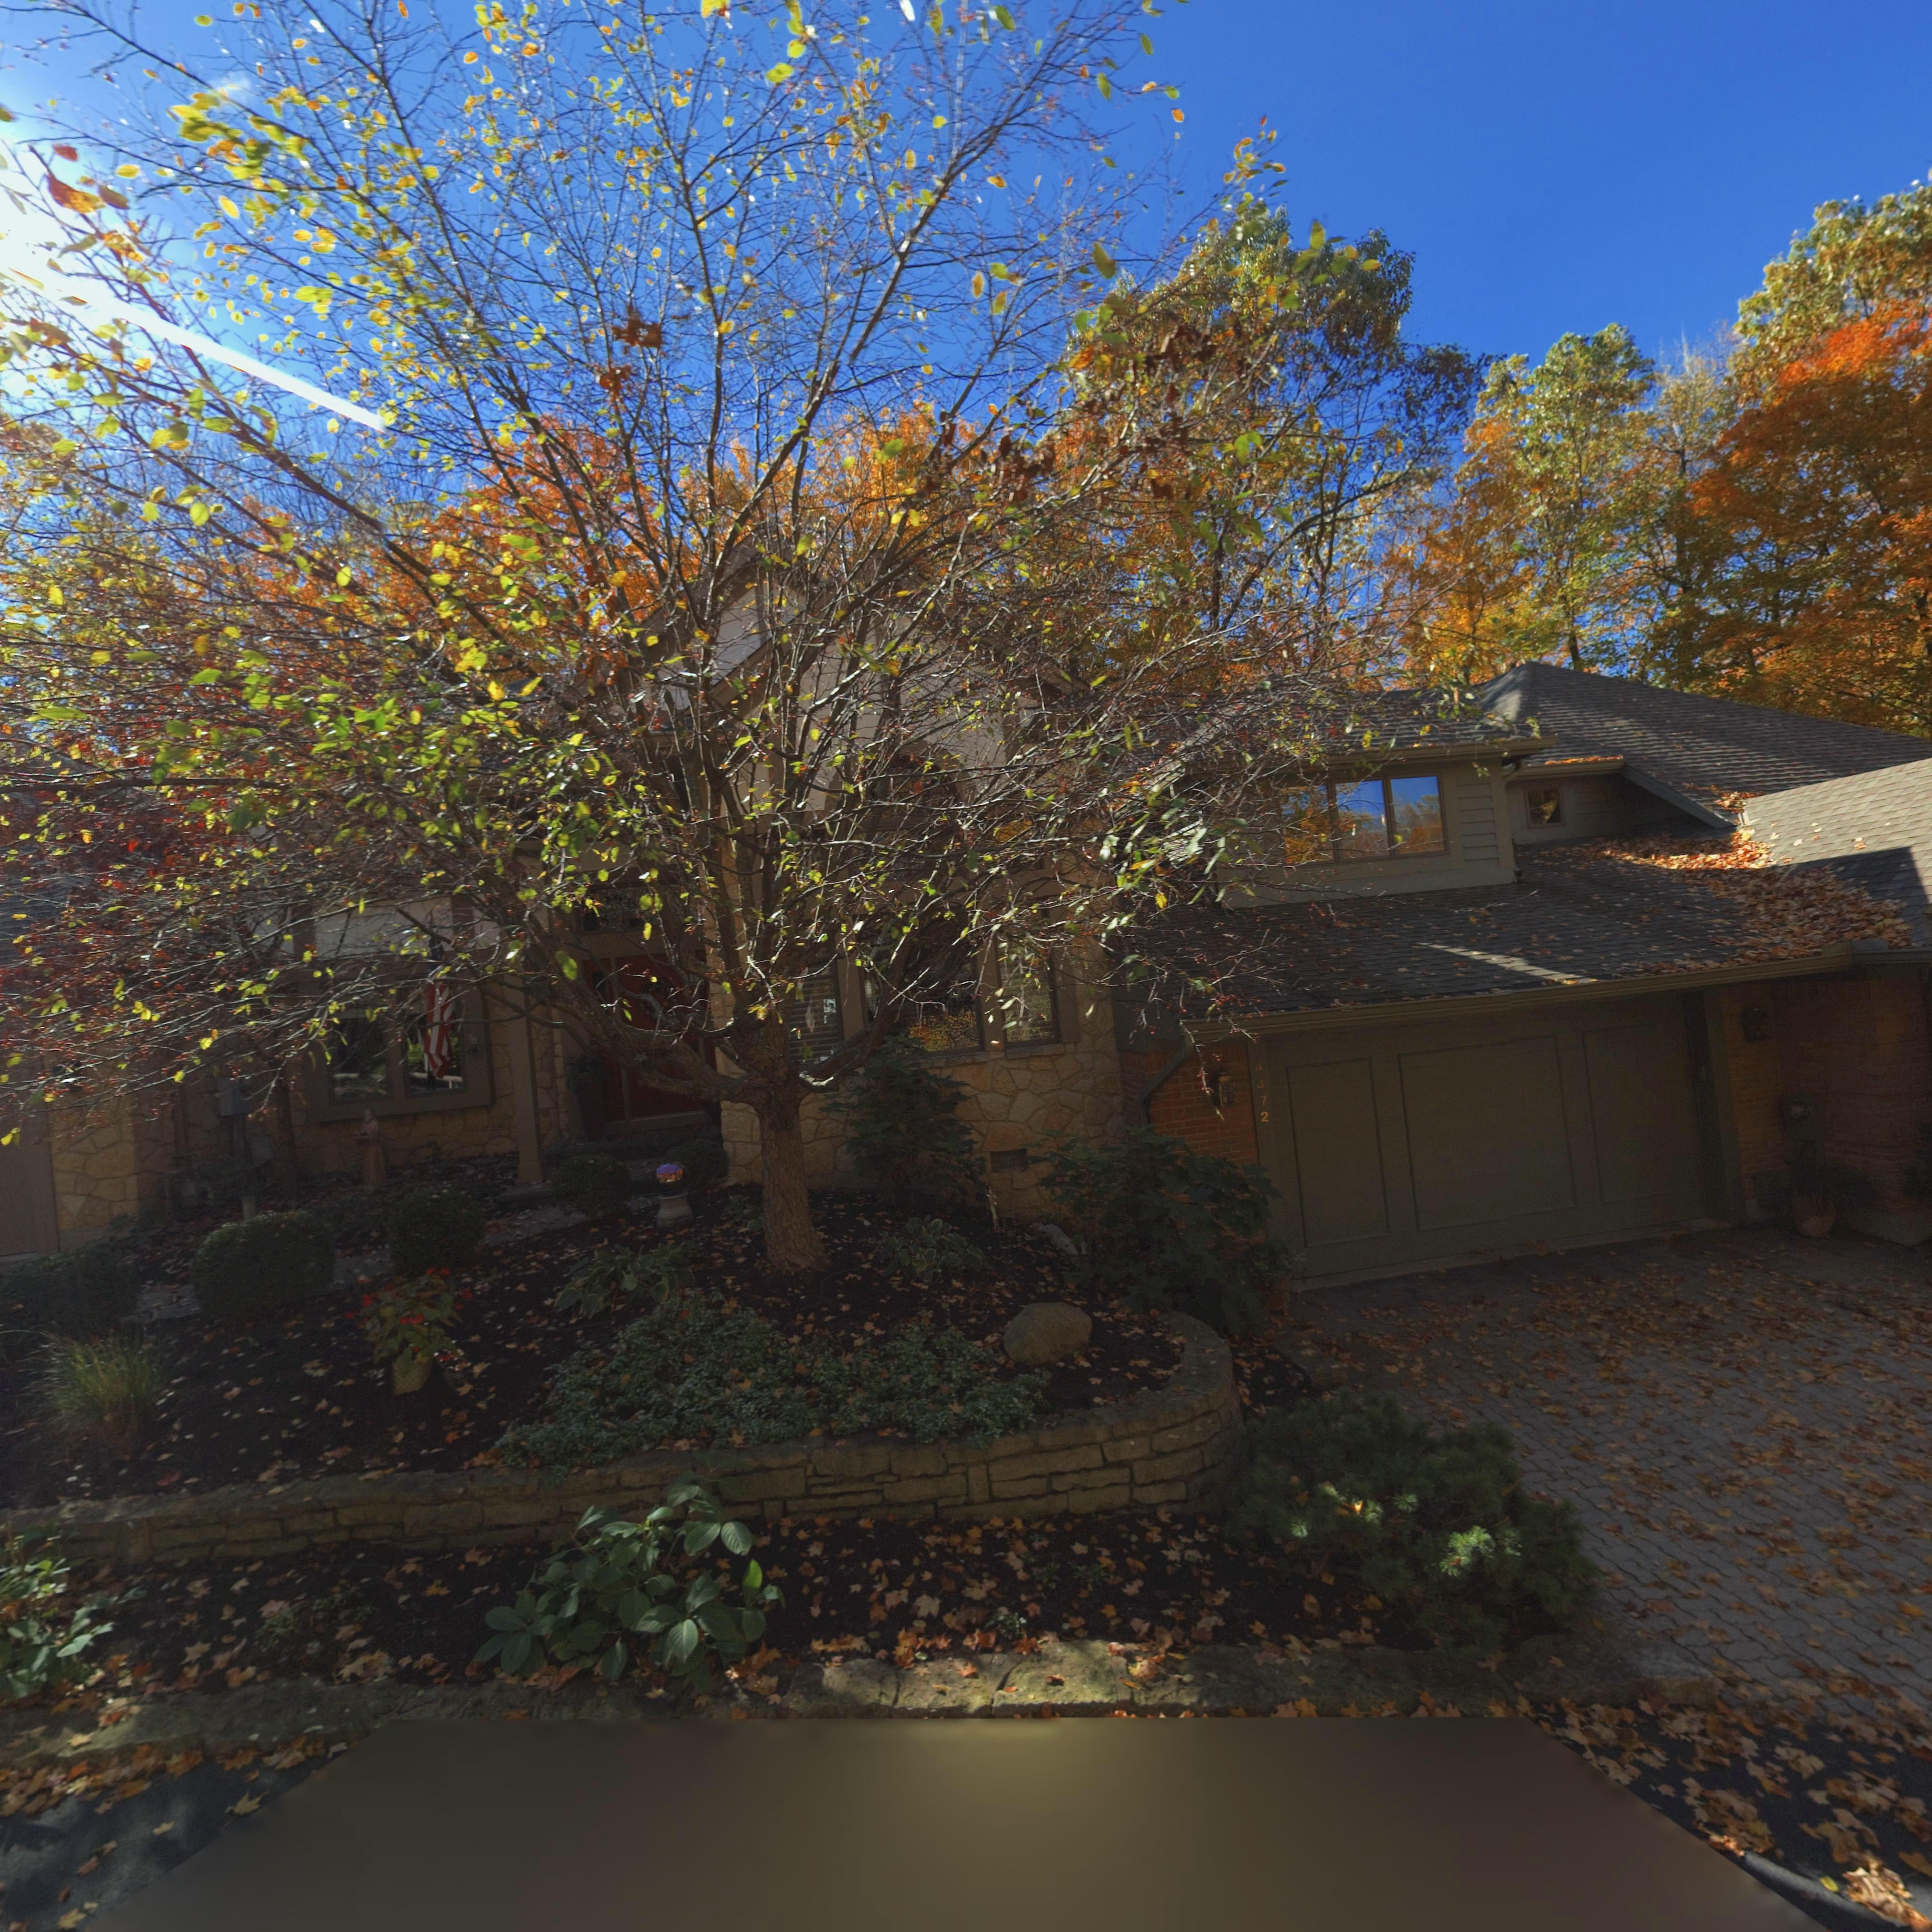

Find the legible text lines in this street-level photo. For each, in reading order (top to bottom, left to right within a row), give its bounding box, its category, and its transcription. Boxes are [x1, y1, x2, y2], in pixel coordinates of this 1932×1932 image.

[1252, 1060, 1272, 1124] StreetNumber: 4472